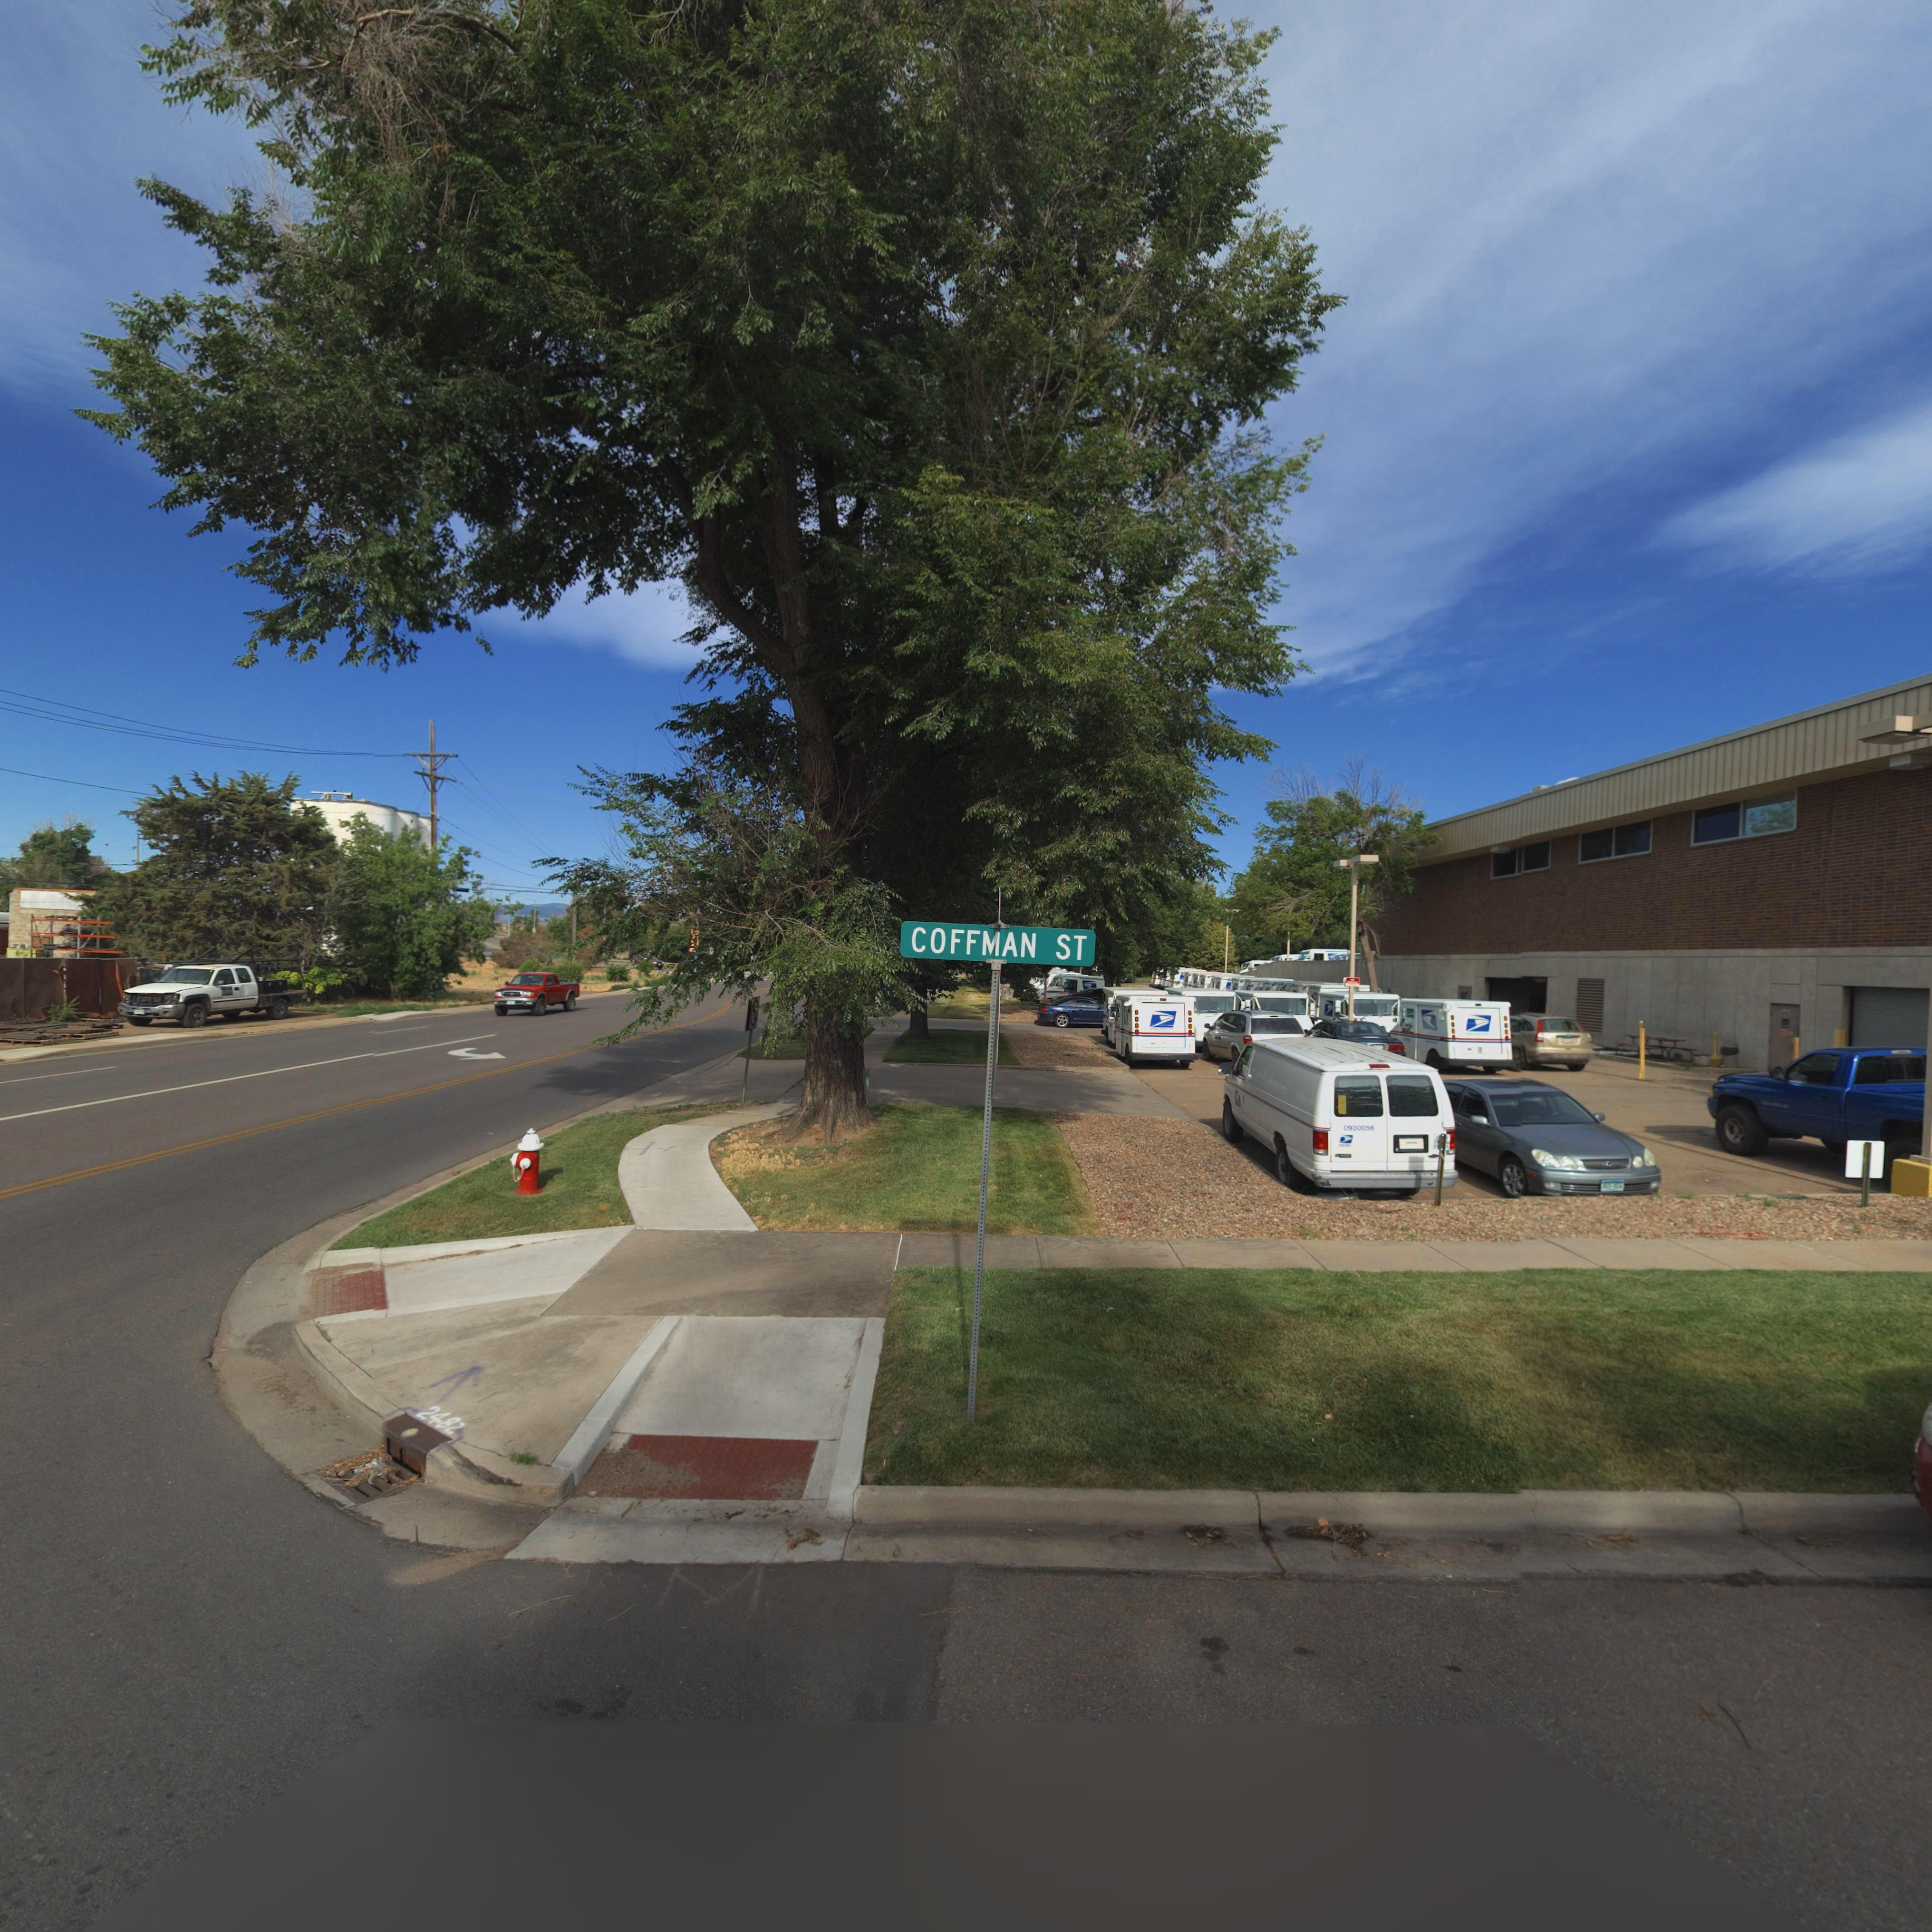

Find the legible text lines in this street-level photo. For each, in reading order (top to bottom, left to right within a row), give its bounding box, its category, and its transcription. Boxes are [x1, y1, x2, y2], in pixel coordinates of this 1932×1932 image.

[909, 925, 1089, 961] StreetName: COFFMAN ST